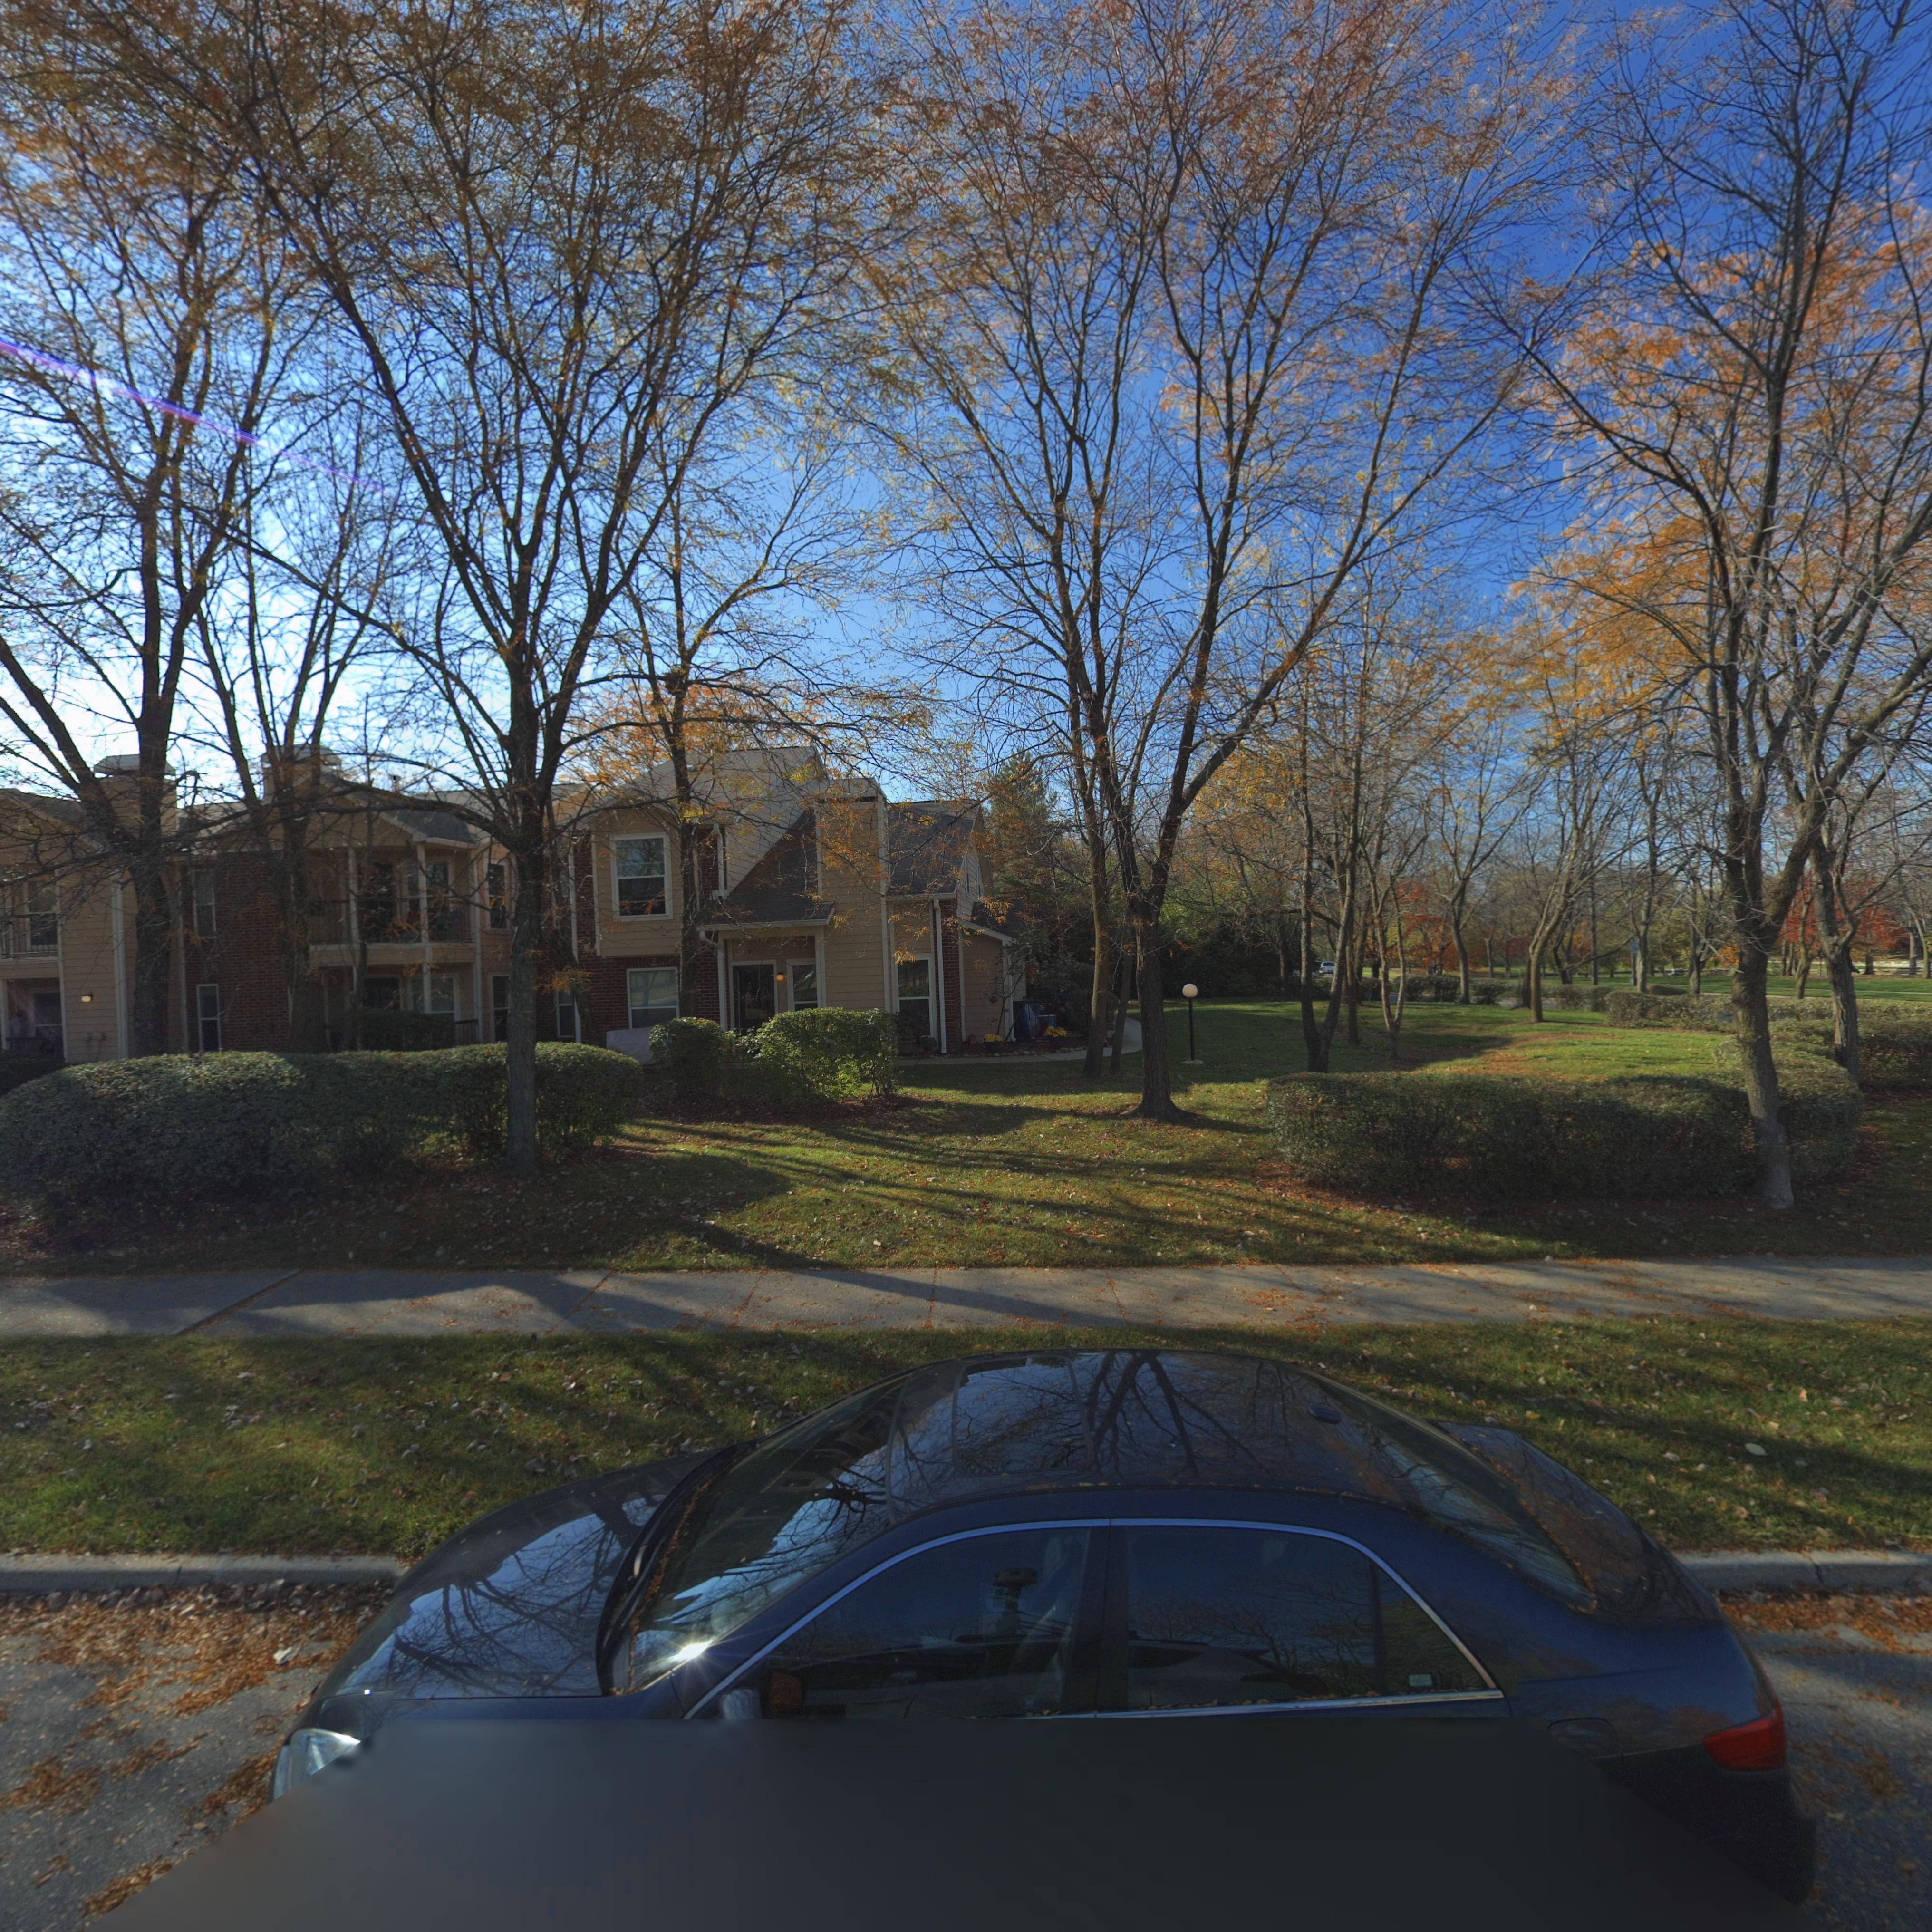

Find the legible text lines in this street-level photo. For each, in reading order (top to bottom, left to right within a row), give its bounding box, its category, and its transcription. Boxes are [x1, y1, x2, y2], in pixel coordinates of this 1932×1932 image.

[747, 949, 756, 955] StreetNumber: 811